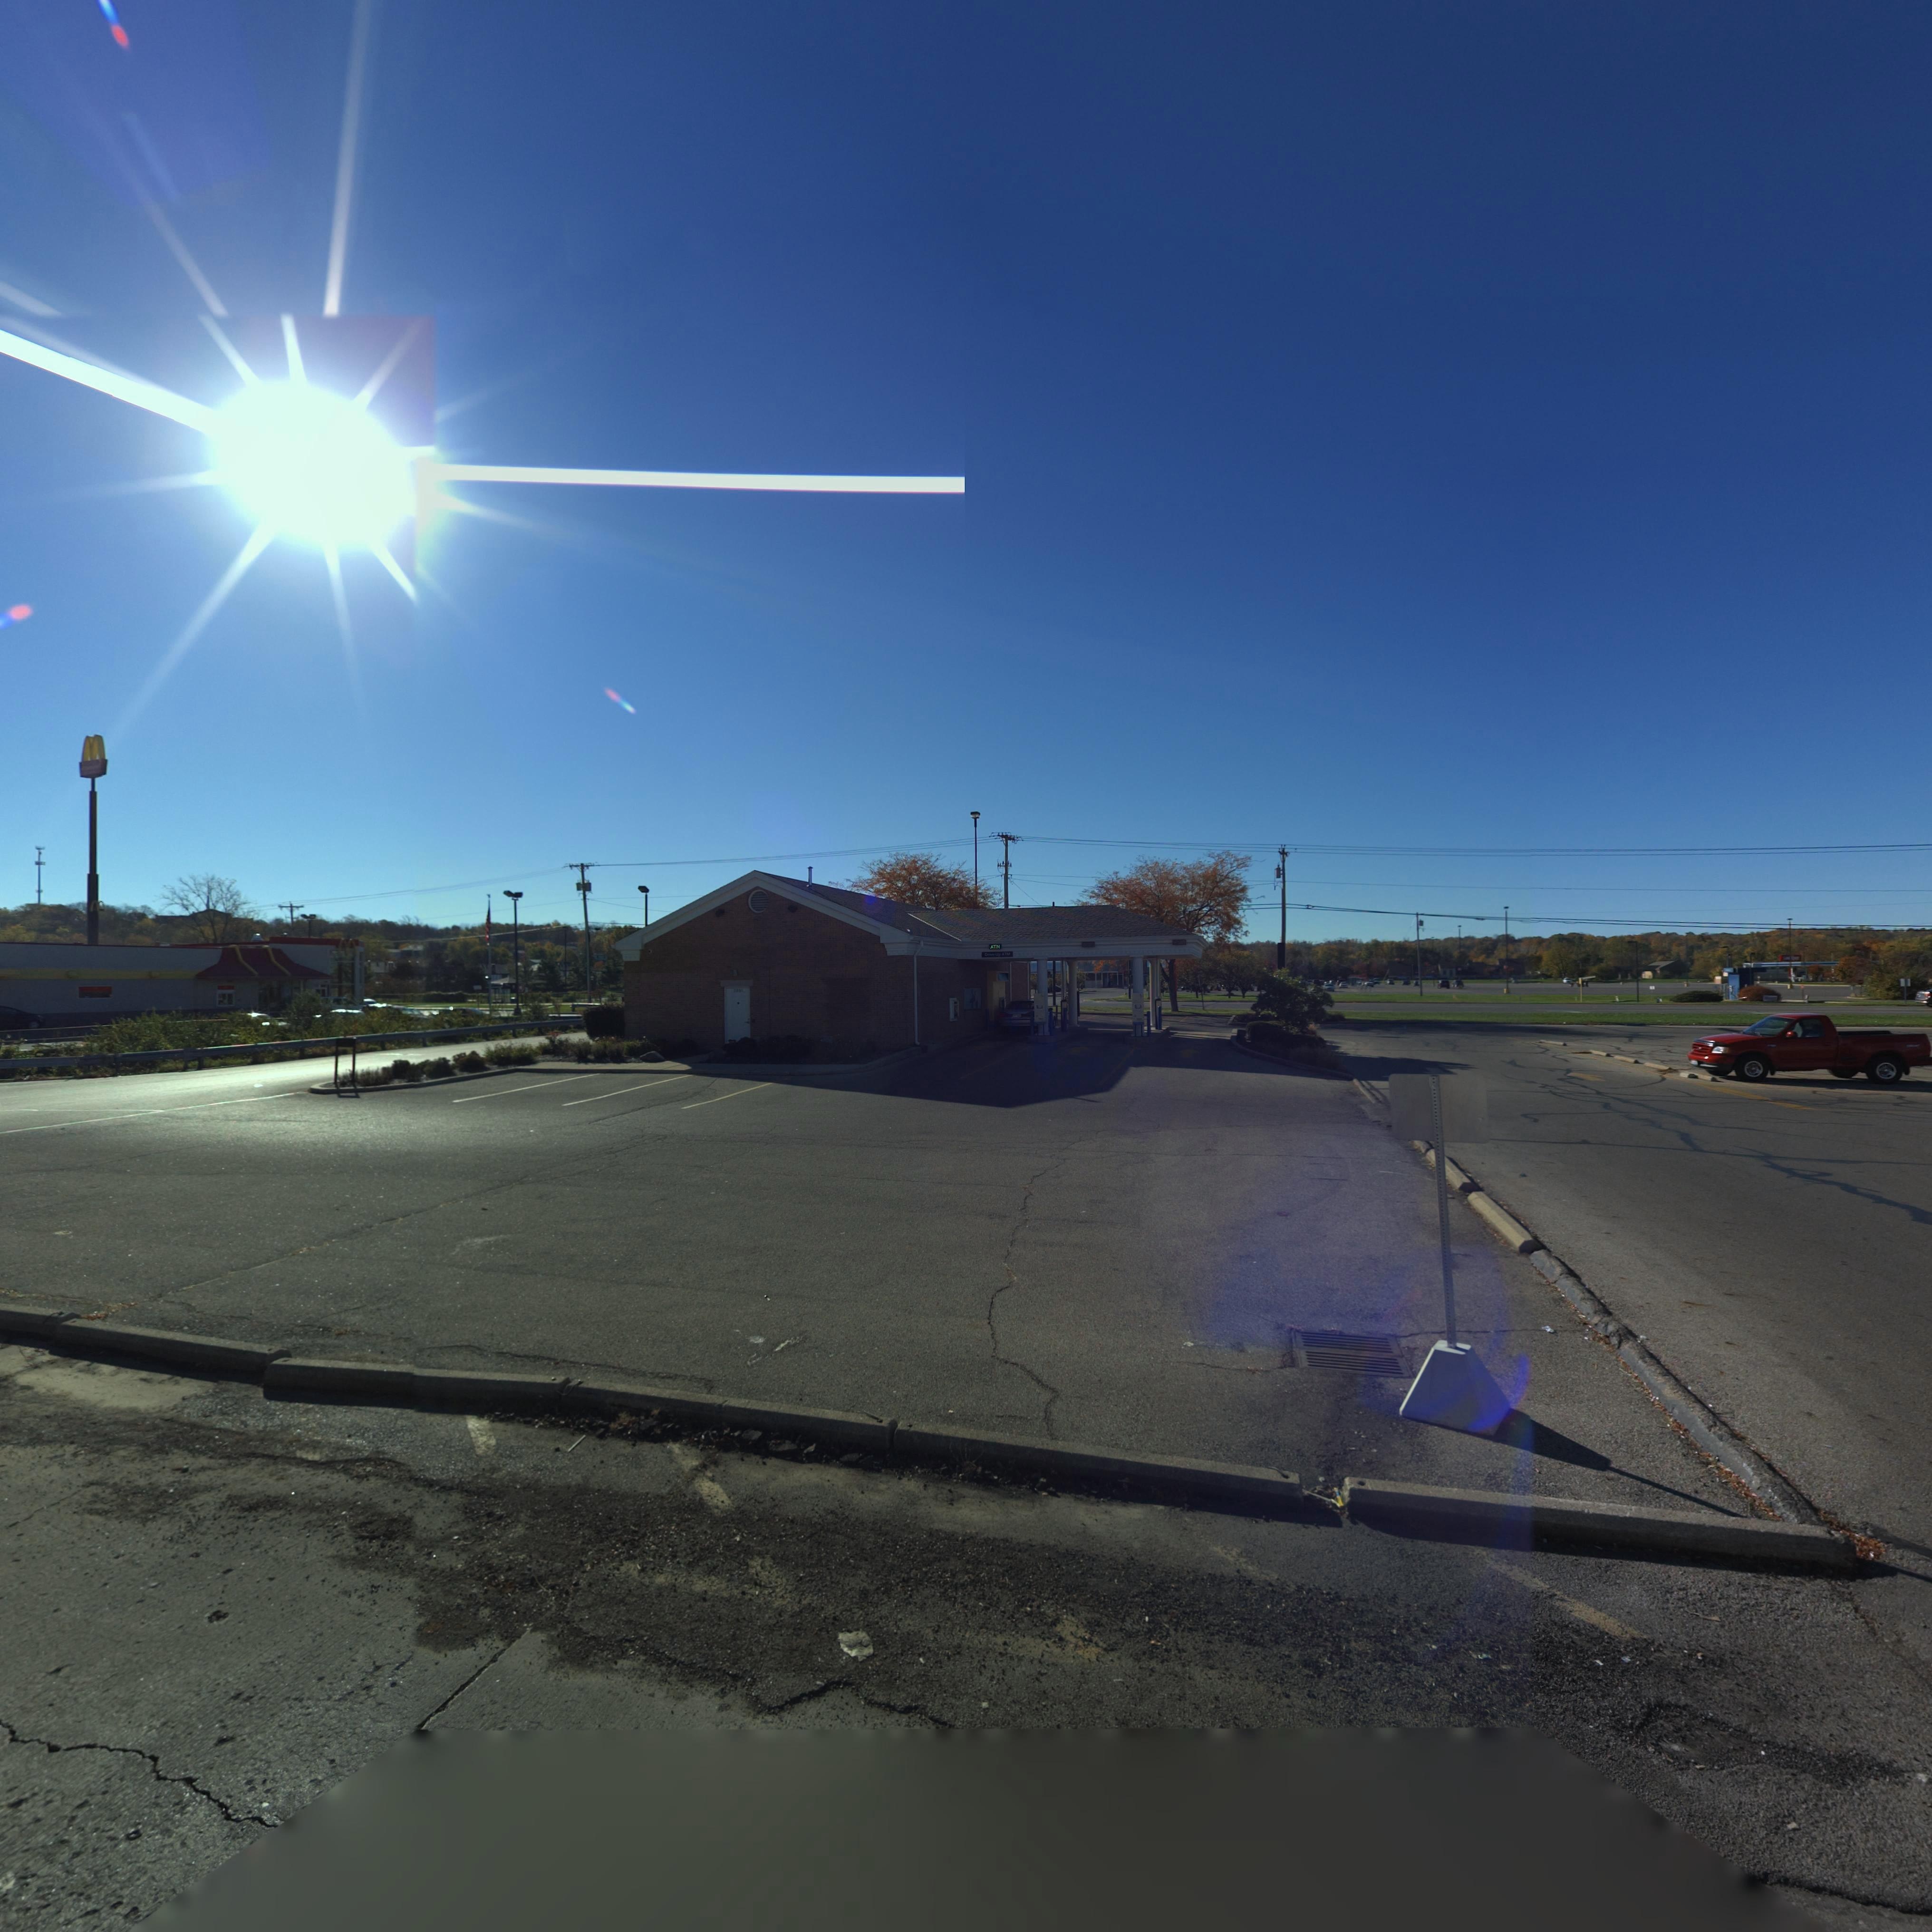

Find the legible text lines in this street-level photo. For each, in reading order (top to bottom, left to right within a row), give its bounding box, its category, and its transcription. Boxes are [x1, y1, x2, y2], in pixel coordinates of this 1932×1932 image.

[733, 988, 744, 993] StreetNumber: 2**1